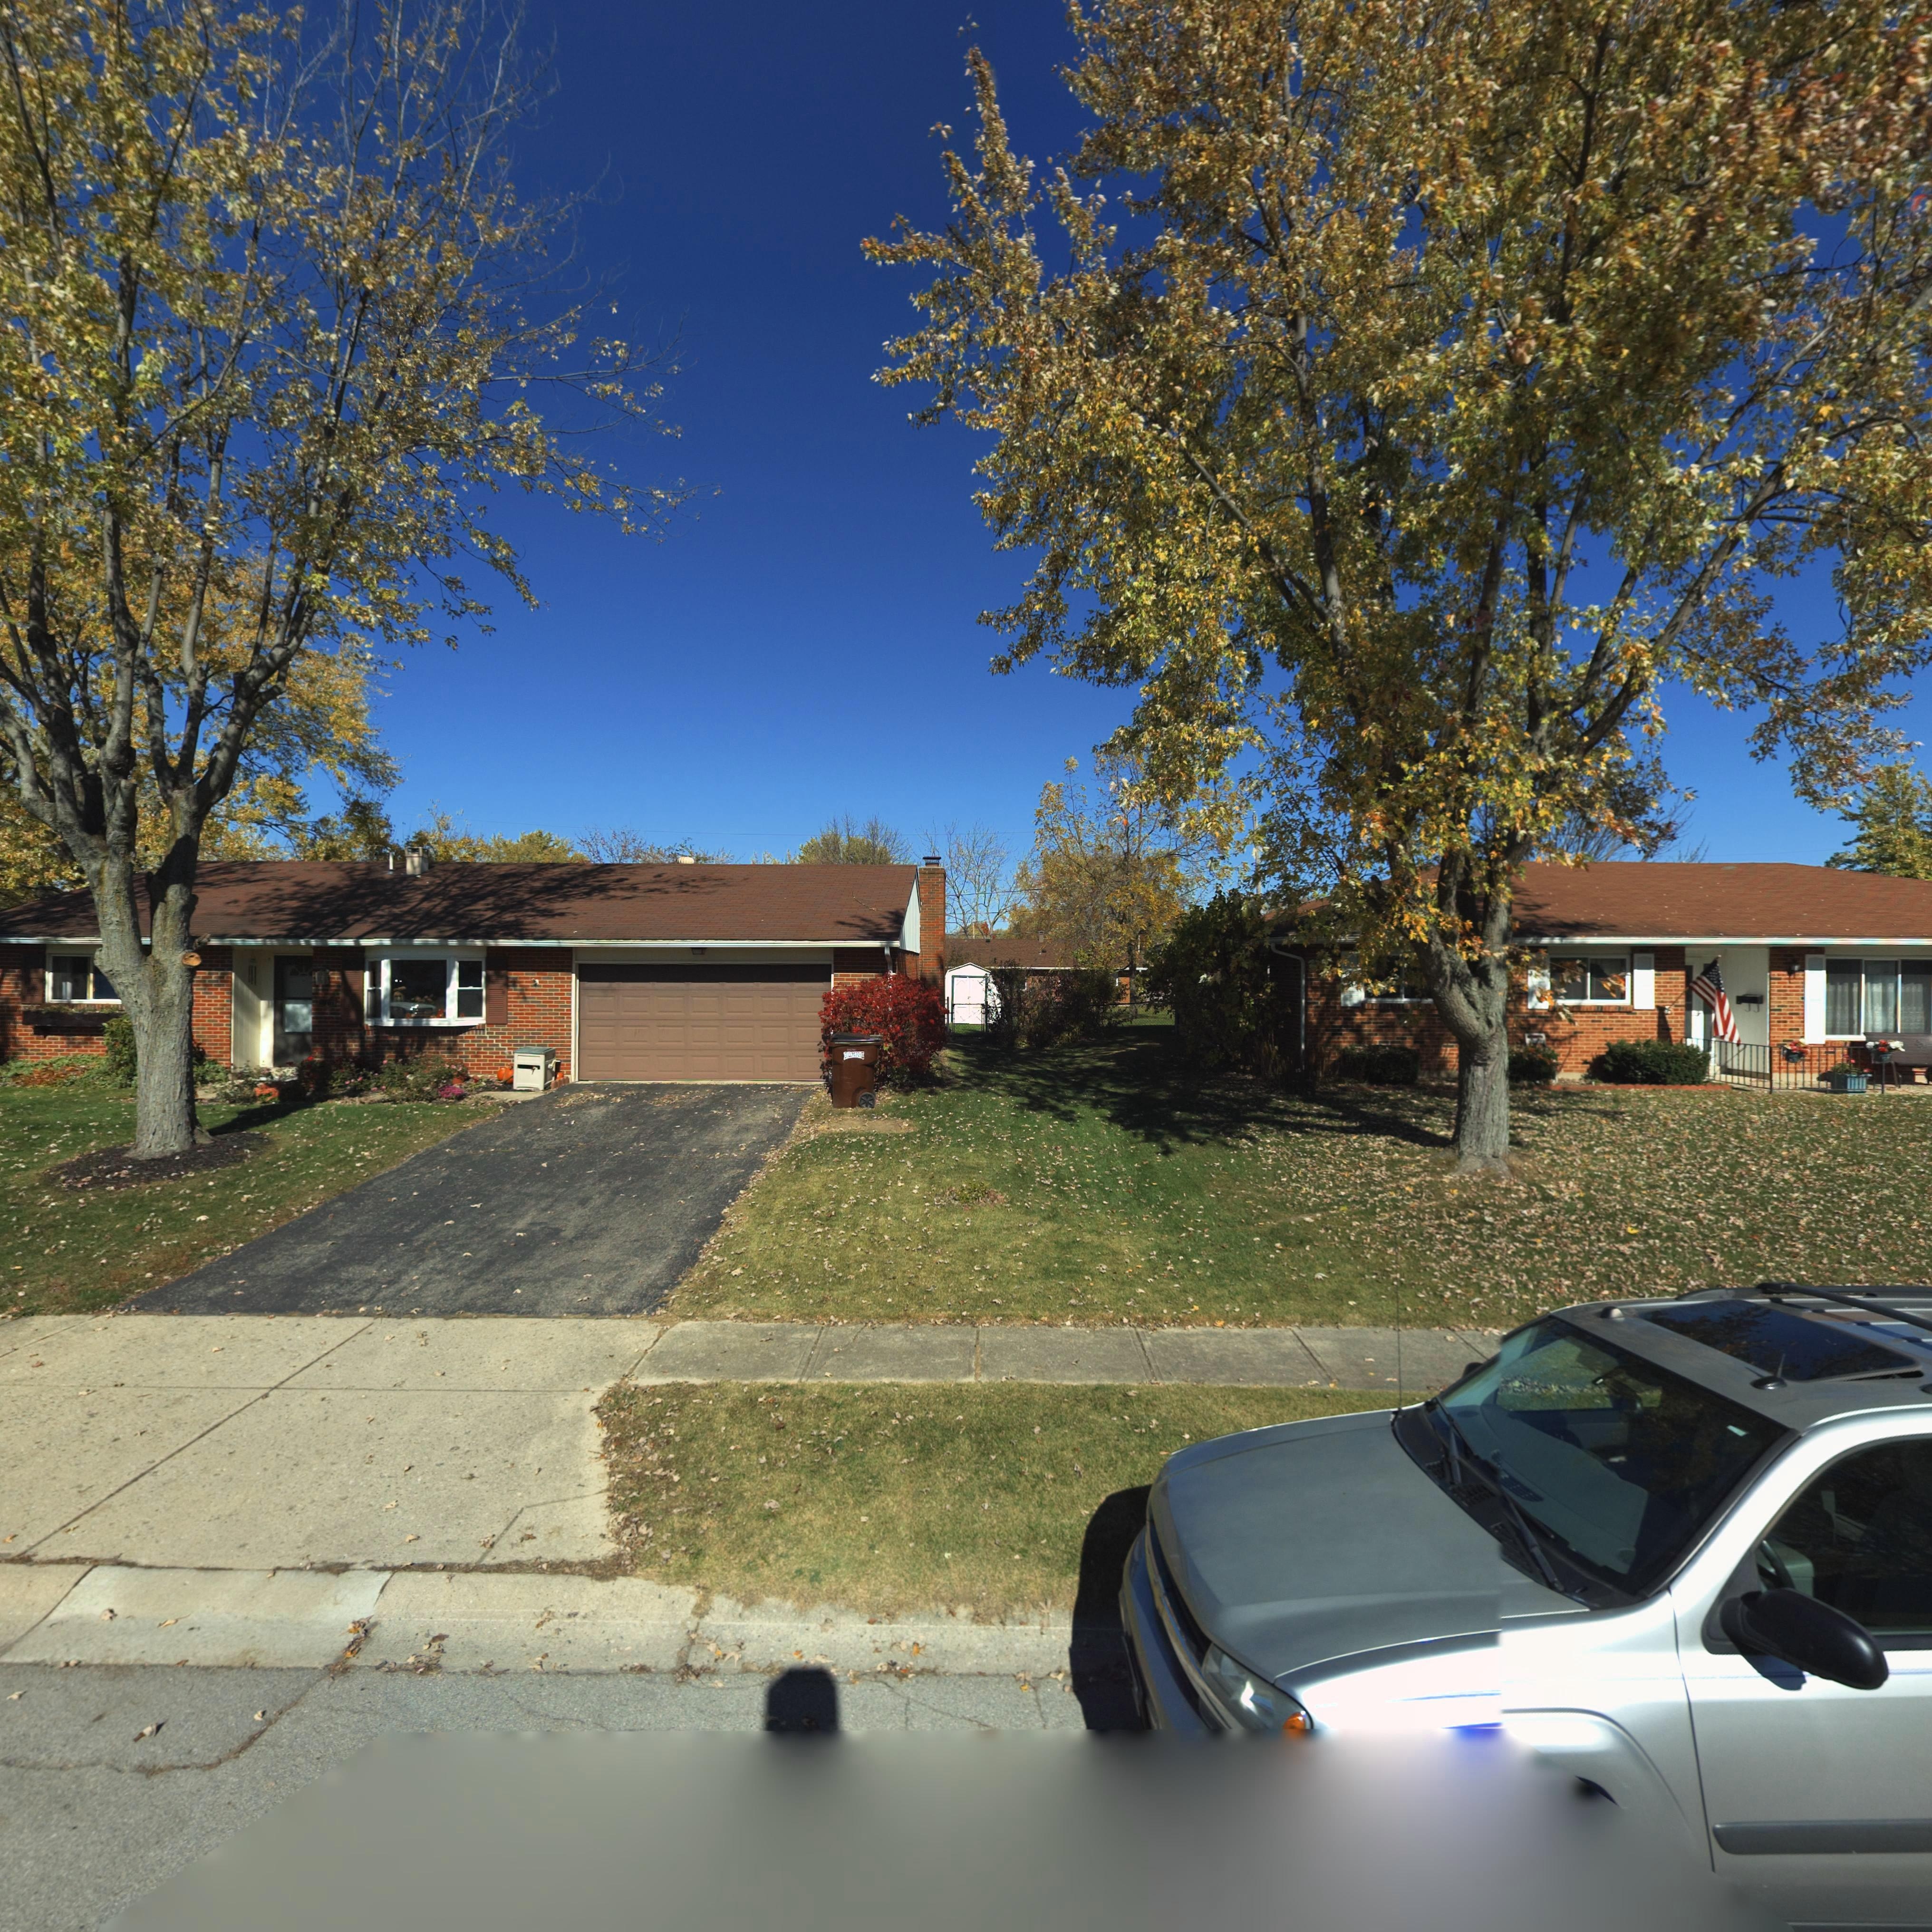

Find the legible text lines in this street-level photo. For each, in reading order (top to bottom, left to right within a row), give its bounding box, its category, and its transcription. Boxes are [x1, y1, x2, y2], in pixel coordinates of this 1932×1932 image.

[320, 1000, 334, 1006] StreetNumber: *17